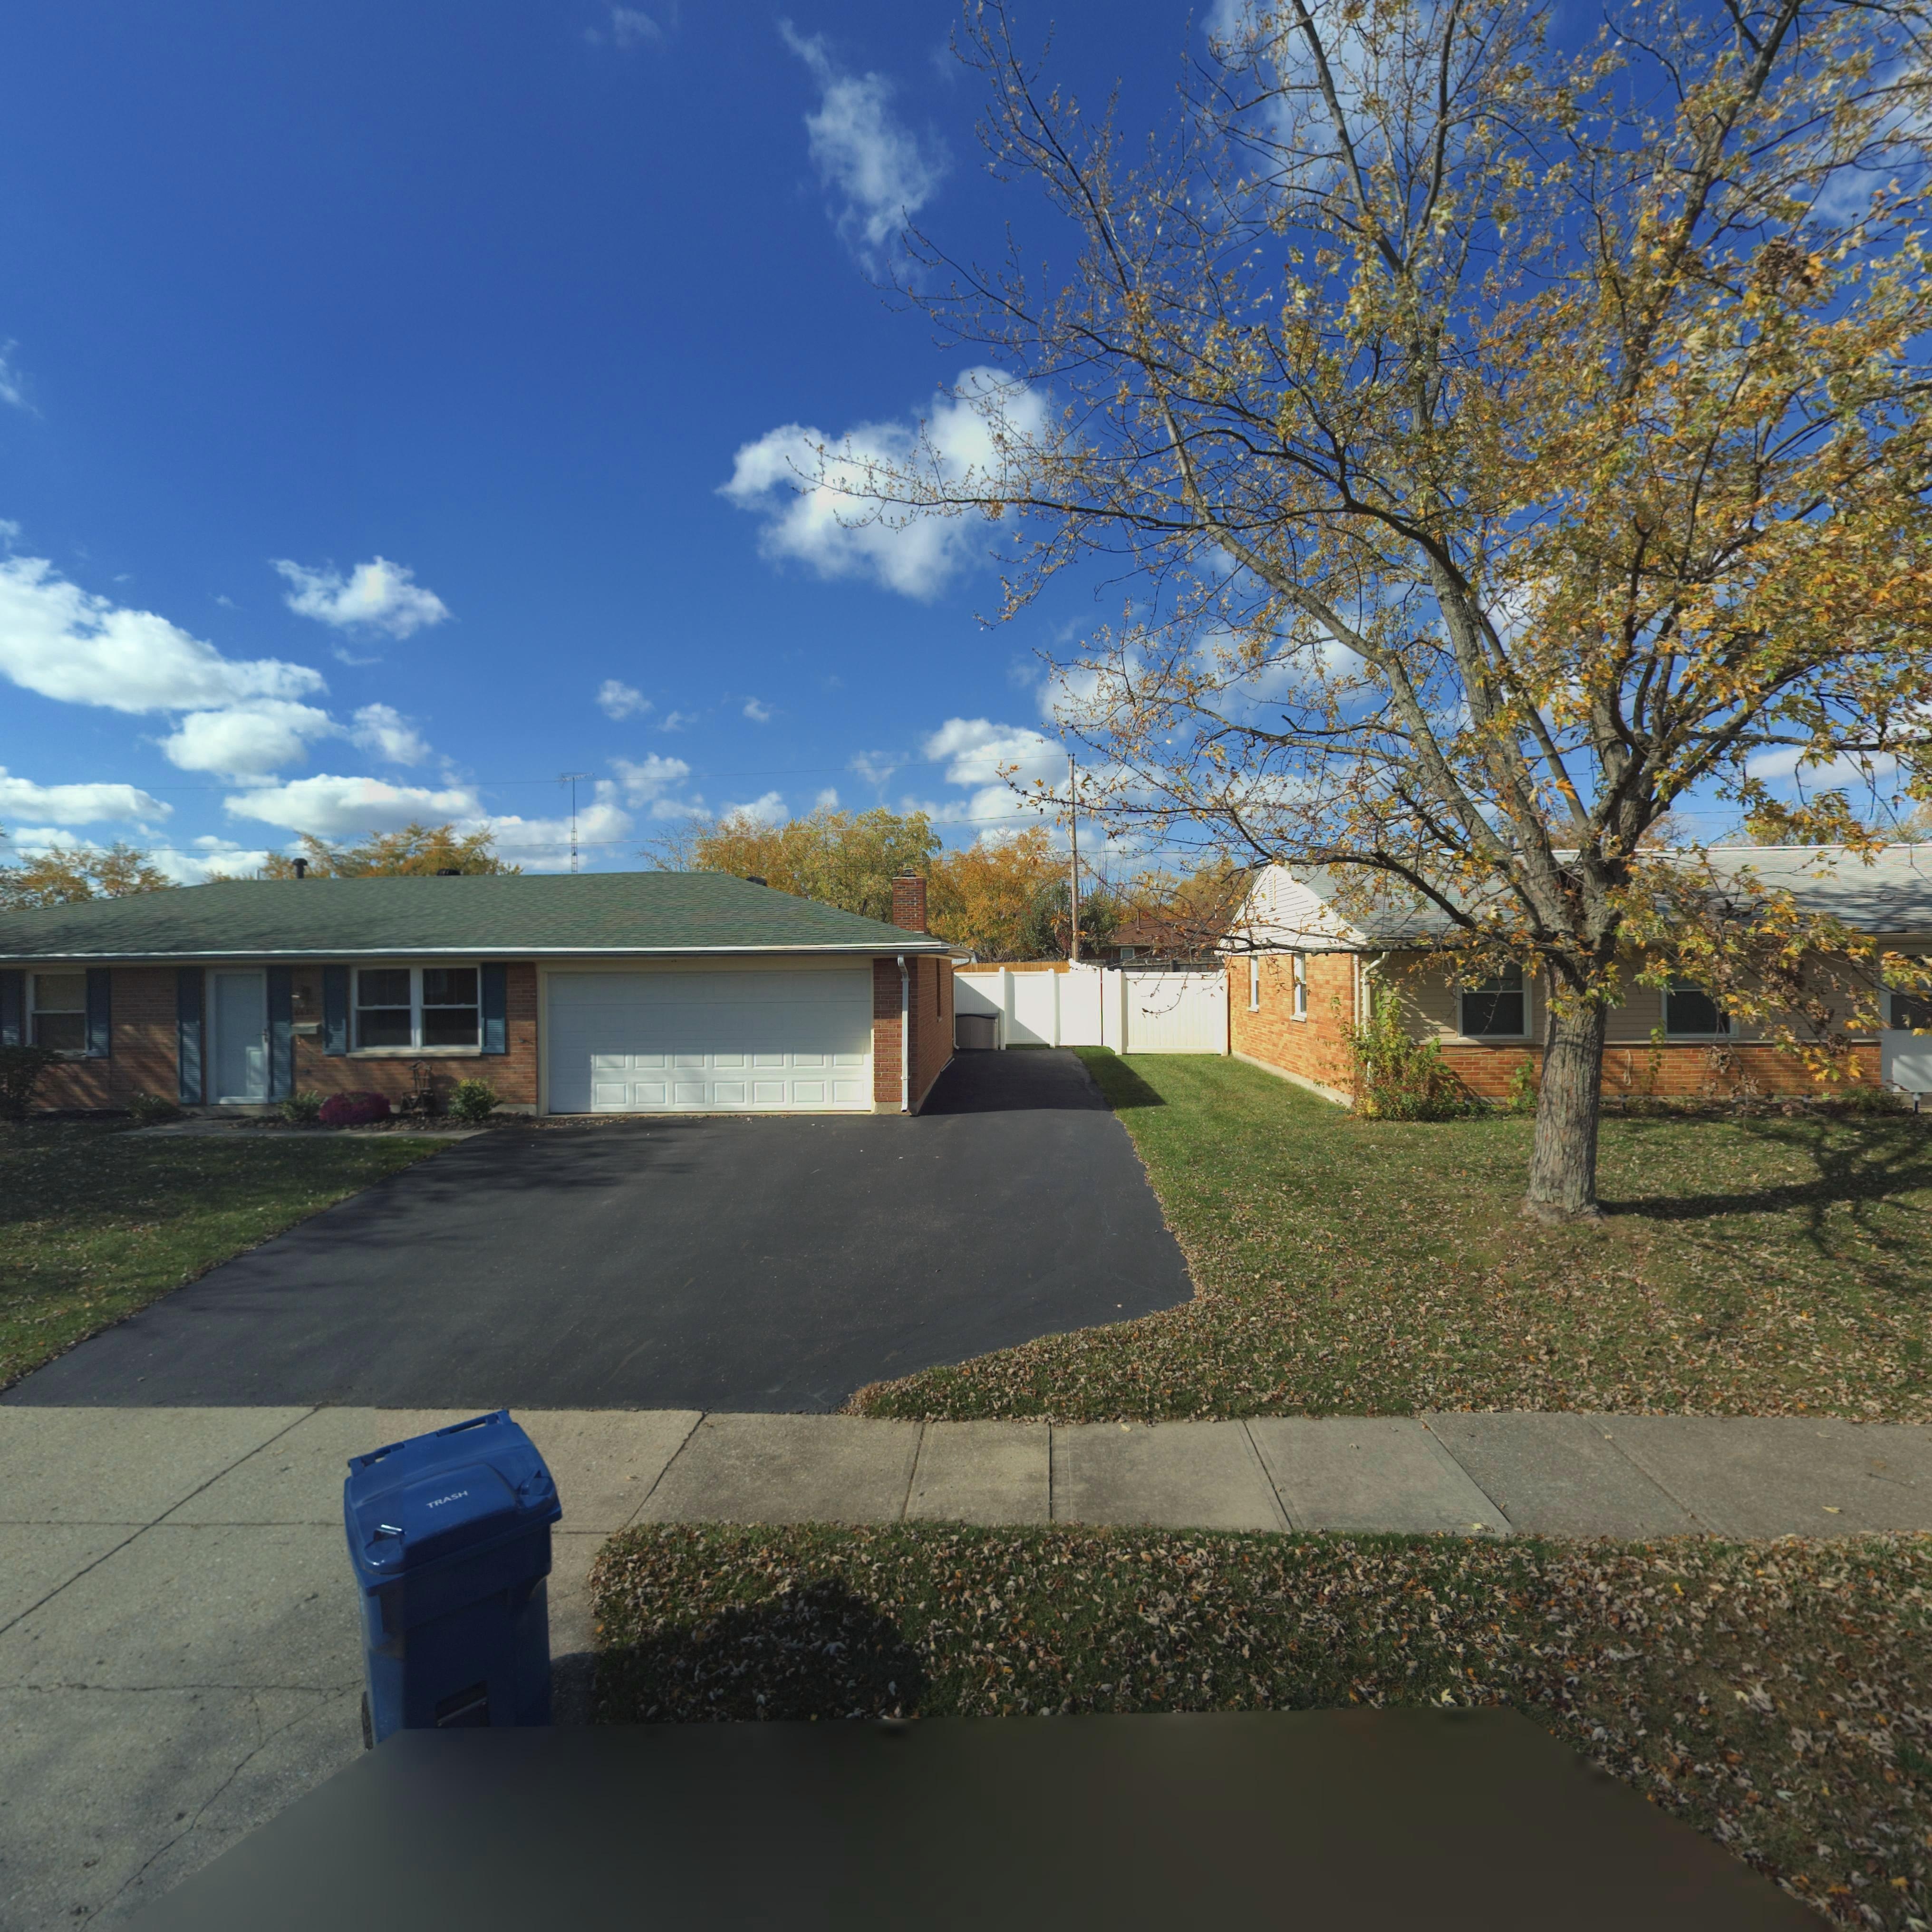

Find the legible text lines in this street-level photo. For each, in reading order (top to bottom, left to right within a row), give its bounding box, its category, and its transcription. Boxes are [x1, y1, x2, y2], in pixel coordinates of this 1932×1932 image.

[293, 1008, 315, 1016] StreetNumber: 6***